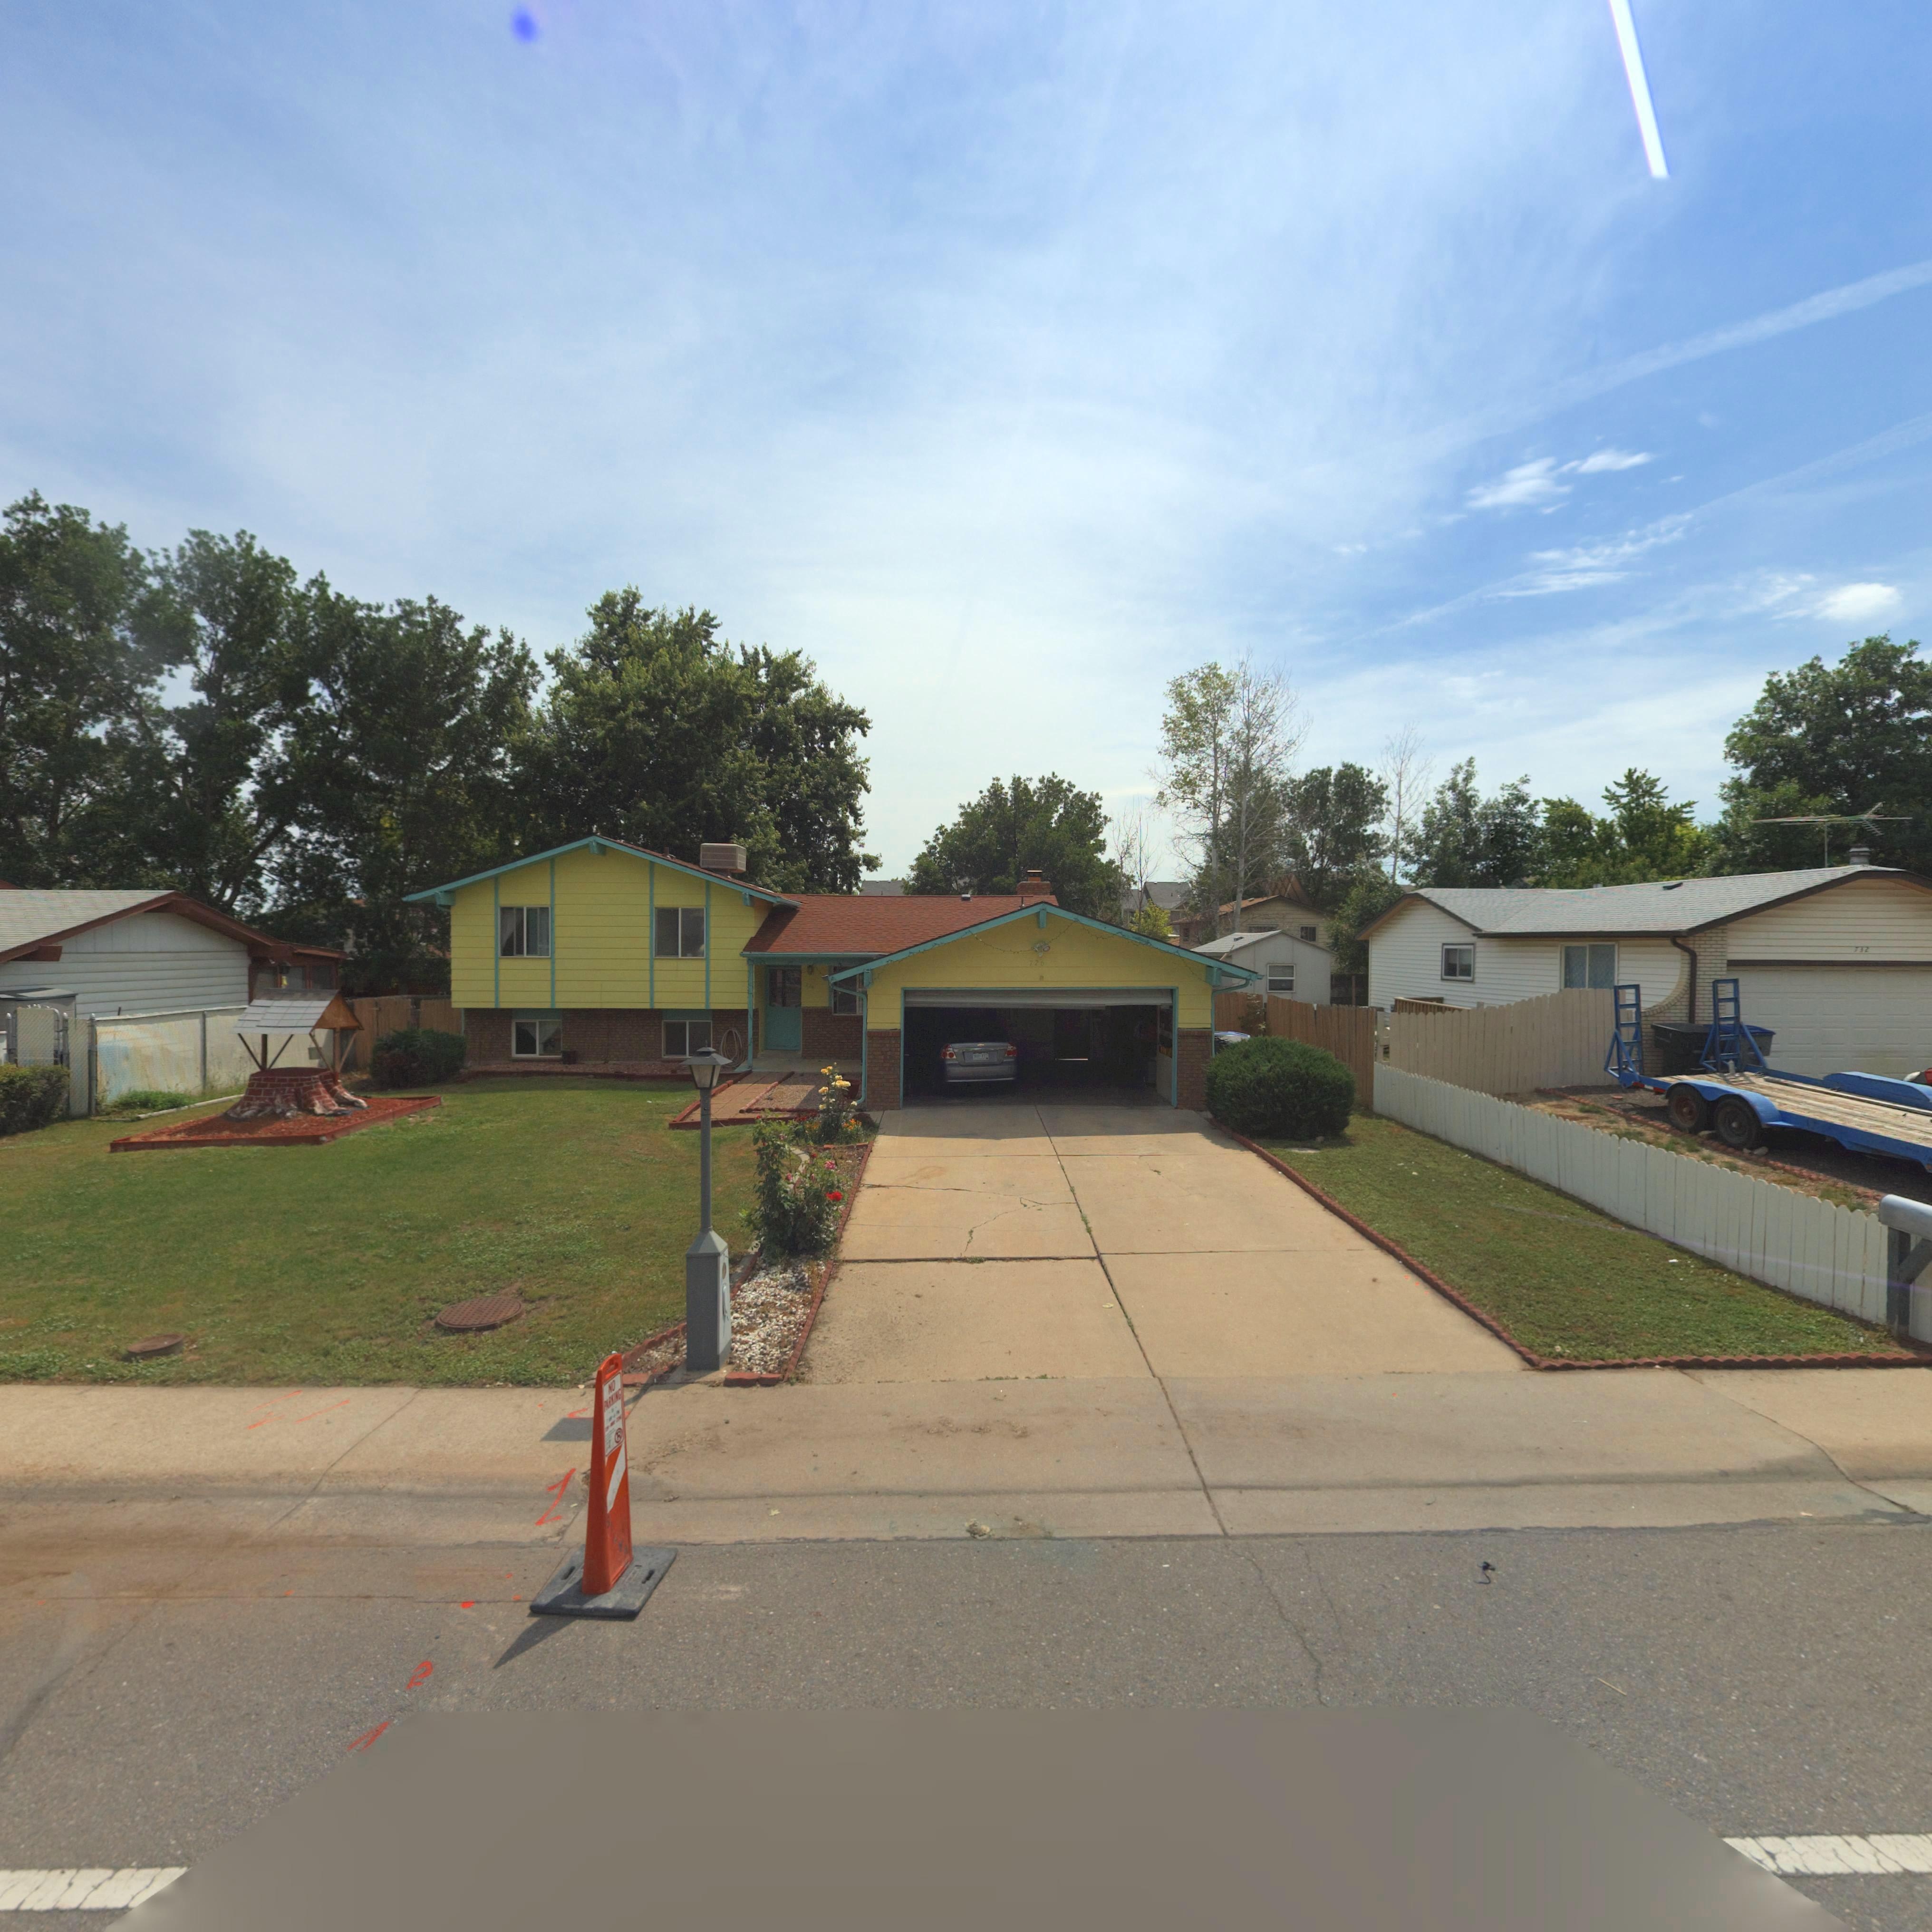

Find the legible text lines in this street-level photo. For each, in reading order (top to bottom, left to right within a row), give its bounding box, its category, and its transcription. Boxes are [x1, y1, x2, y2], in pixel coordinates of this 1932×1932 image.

[1853, 946, 1869, 952] StreetNumber: 732
[1029, 959, 1044, 966] StreetNumber: 726